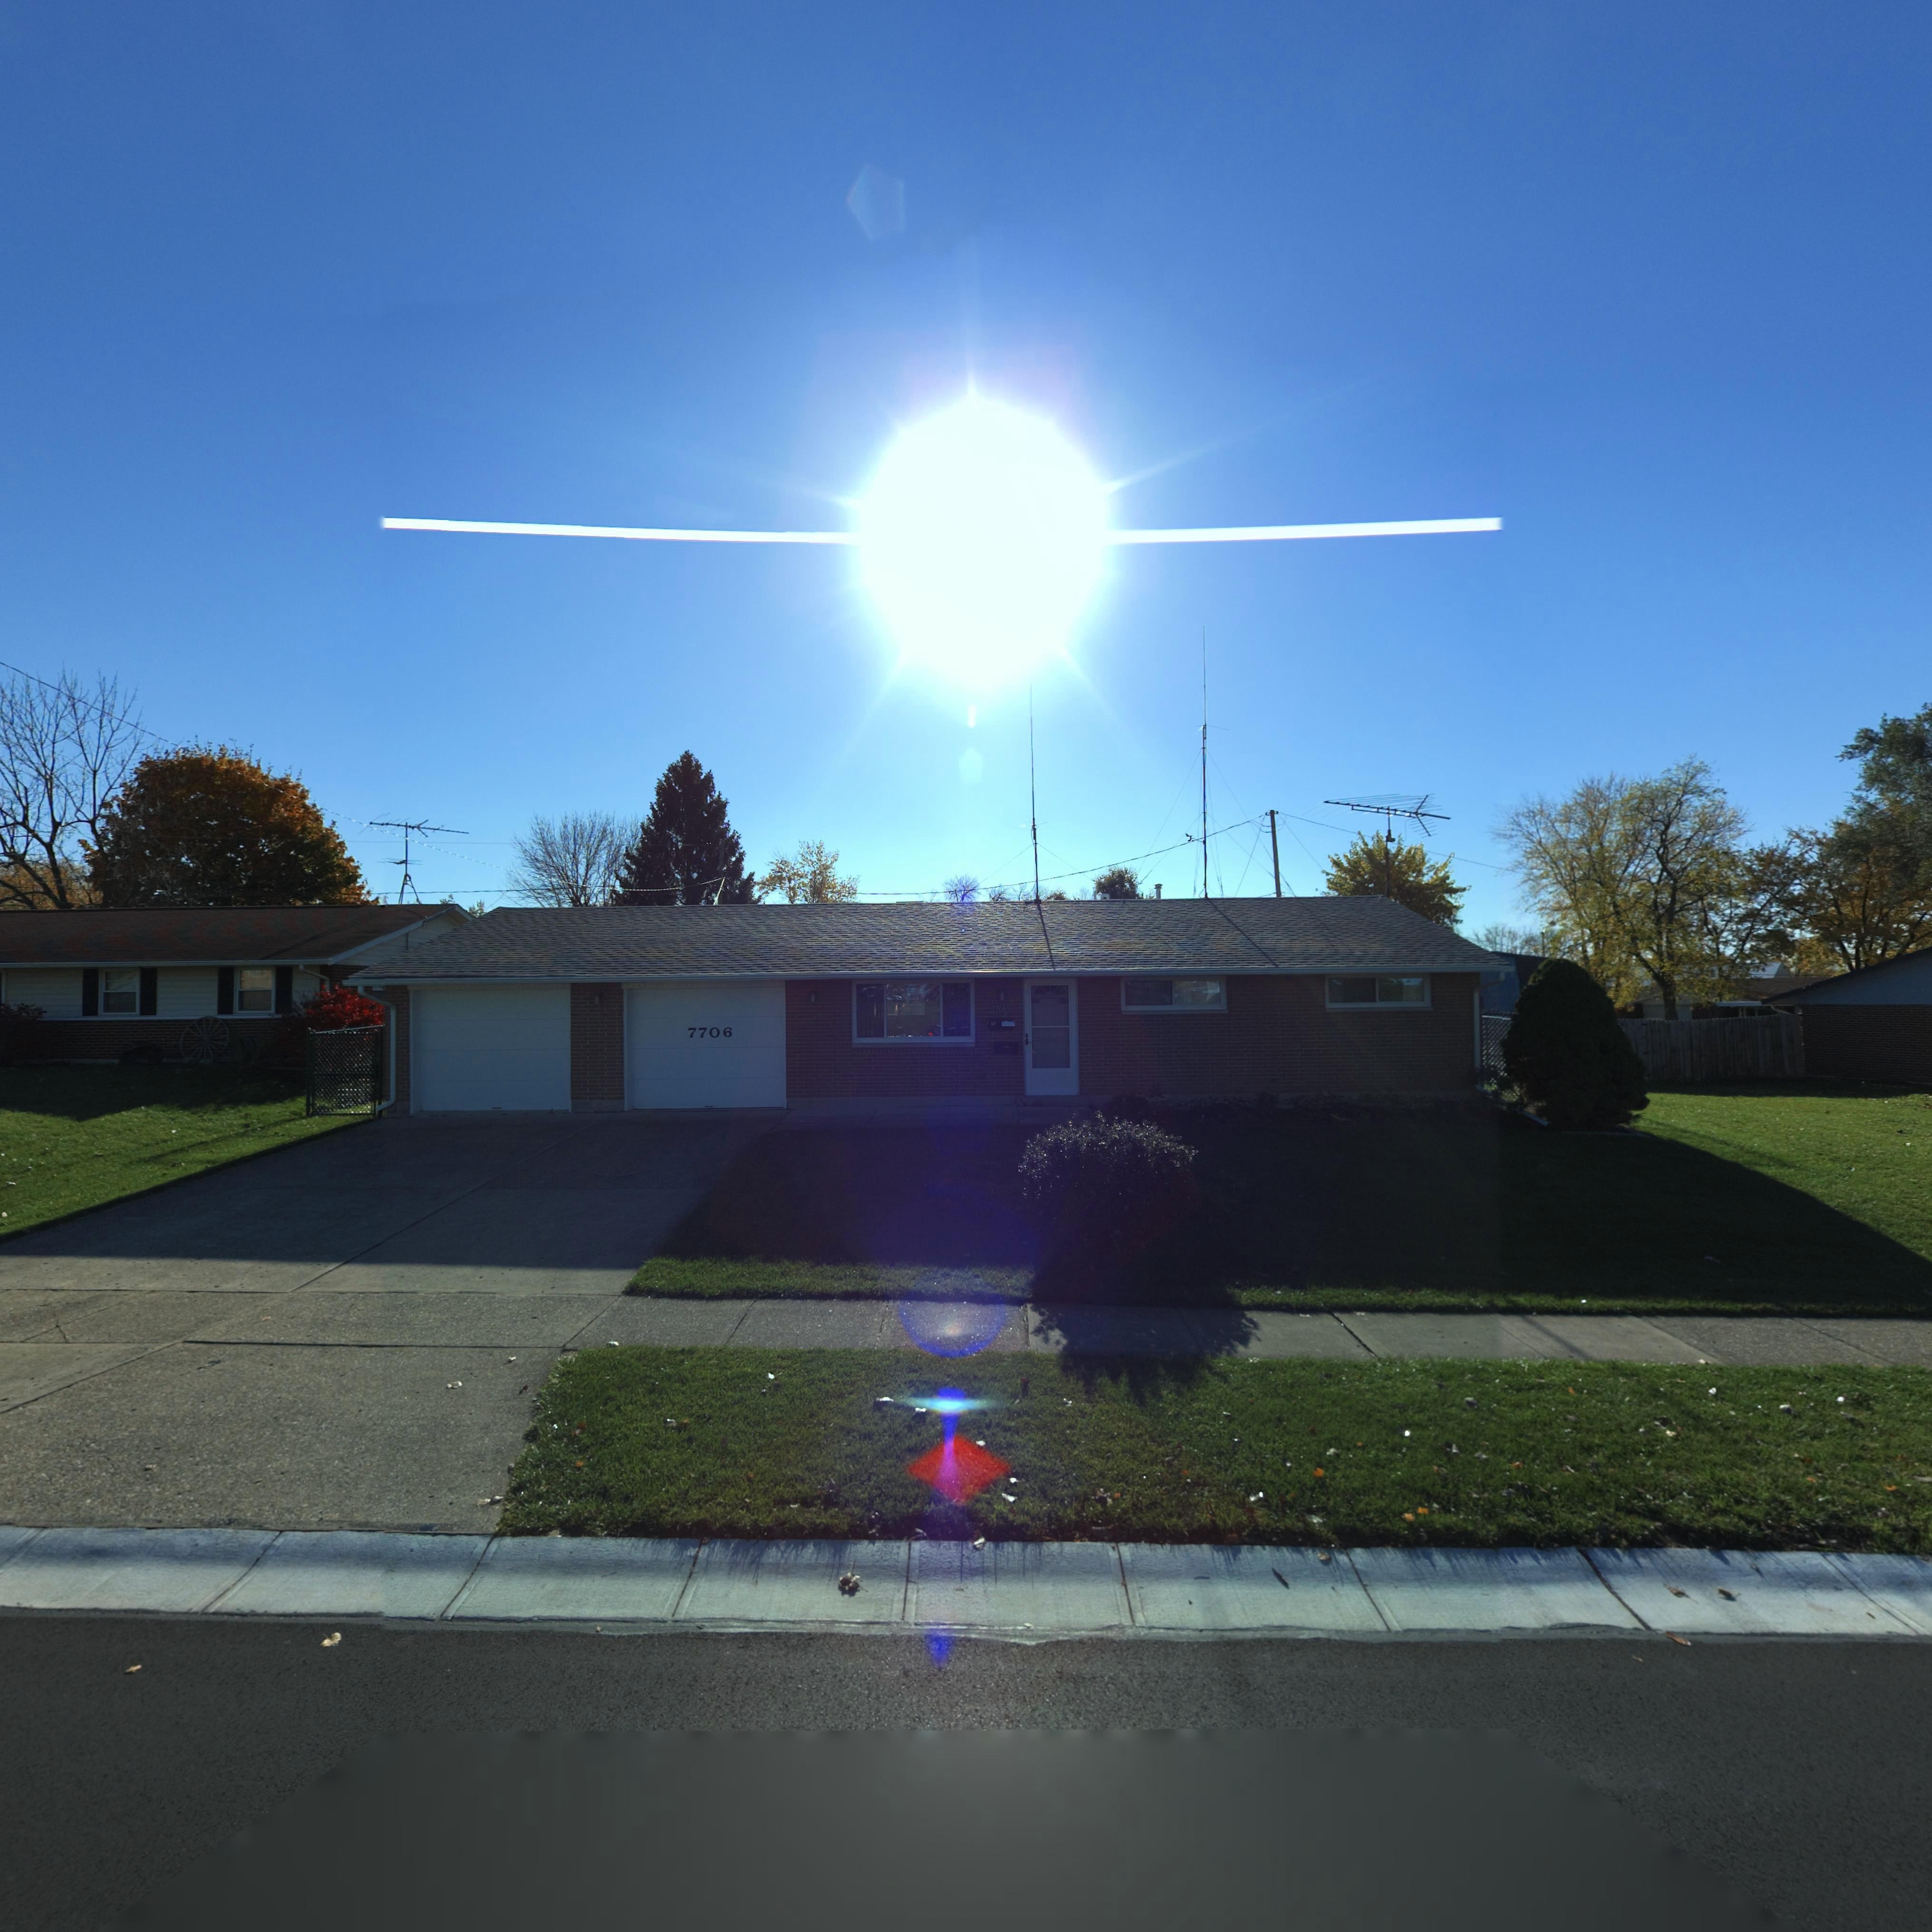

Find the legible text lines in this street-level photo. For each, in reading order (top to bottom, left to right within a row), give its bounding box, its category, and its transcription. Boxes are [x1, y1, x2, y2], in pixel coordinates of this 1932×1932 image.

[991, 1005, 1007, 1012] StreetNumber: 7706
[687, 1026, 734, 1039] StreetNumber: 7706